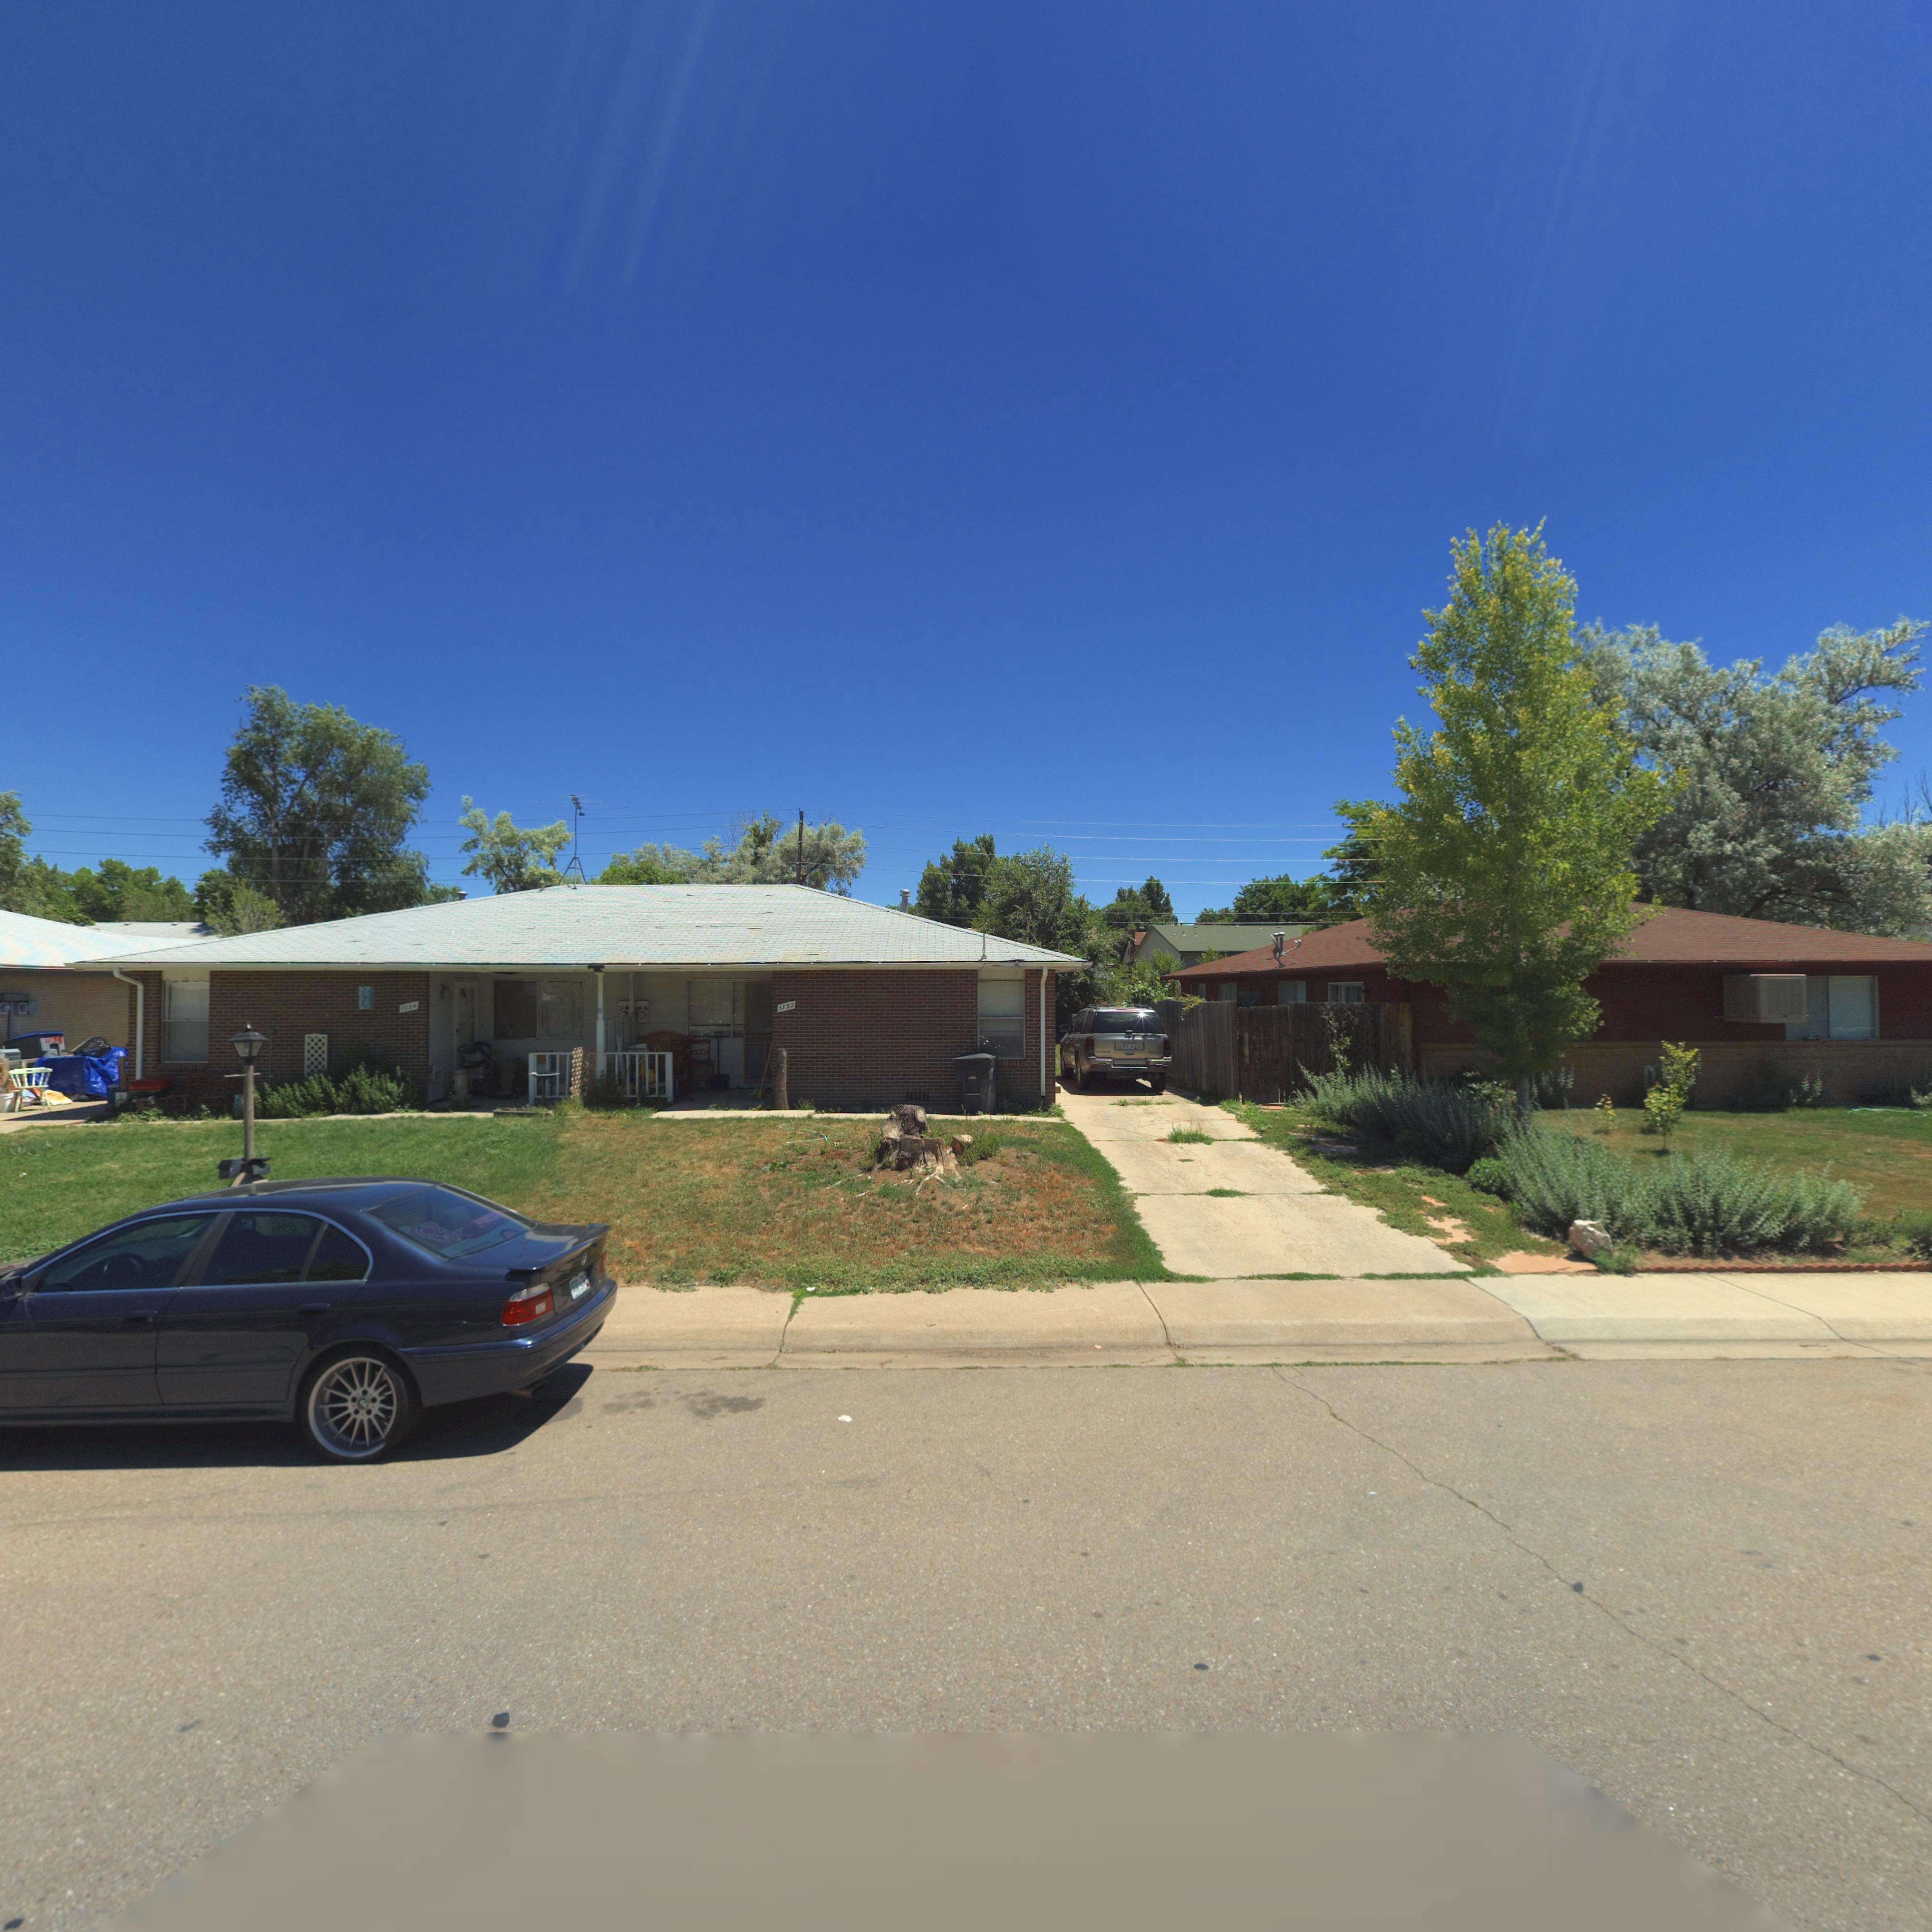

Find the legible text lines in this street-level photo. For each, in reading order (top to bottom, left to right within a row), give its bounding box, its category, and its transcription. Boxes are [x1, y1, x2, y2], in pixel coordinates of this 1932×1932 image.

[400, 1002, 416, 1012] StreetNumber: 1734
[779, 1002, 794, 1011] StreetNumber: 1732